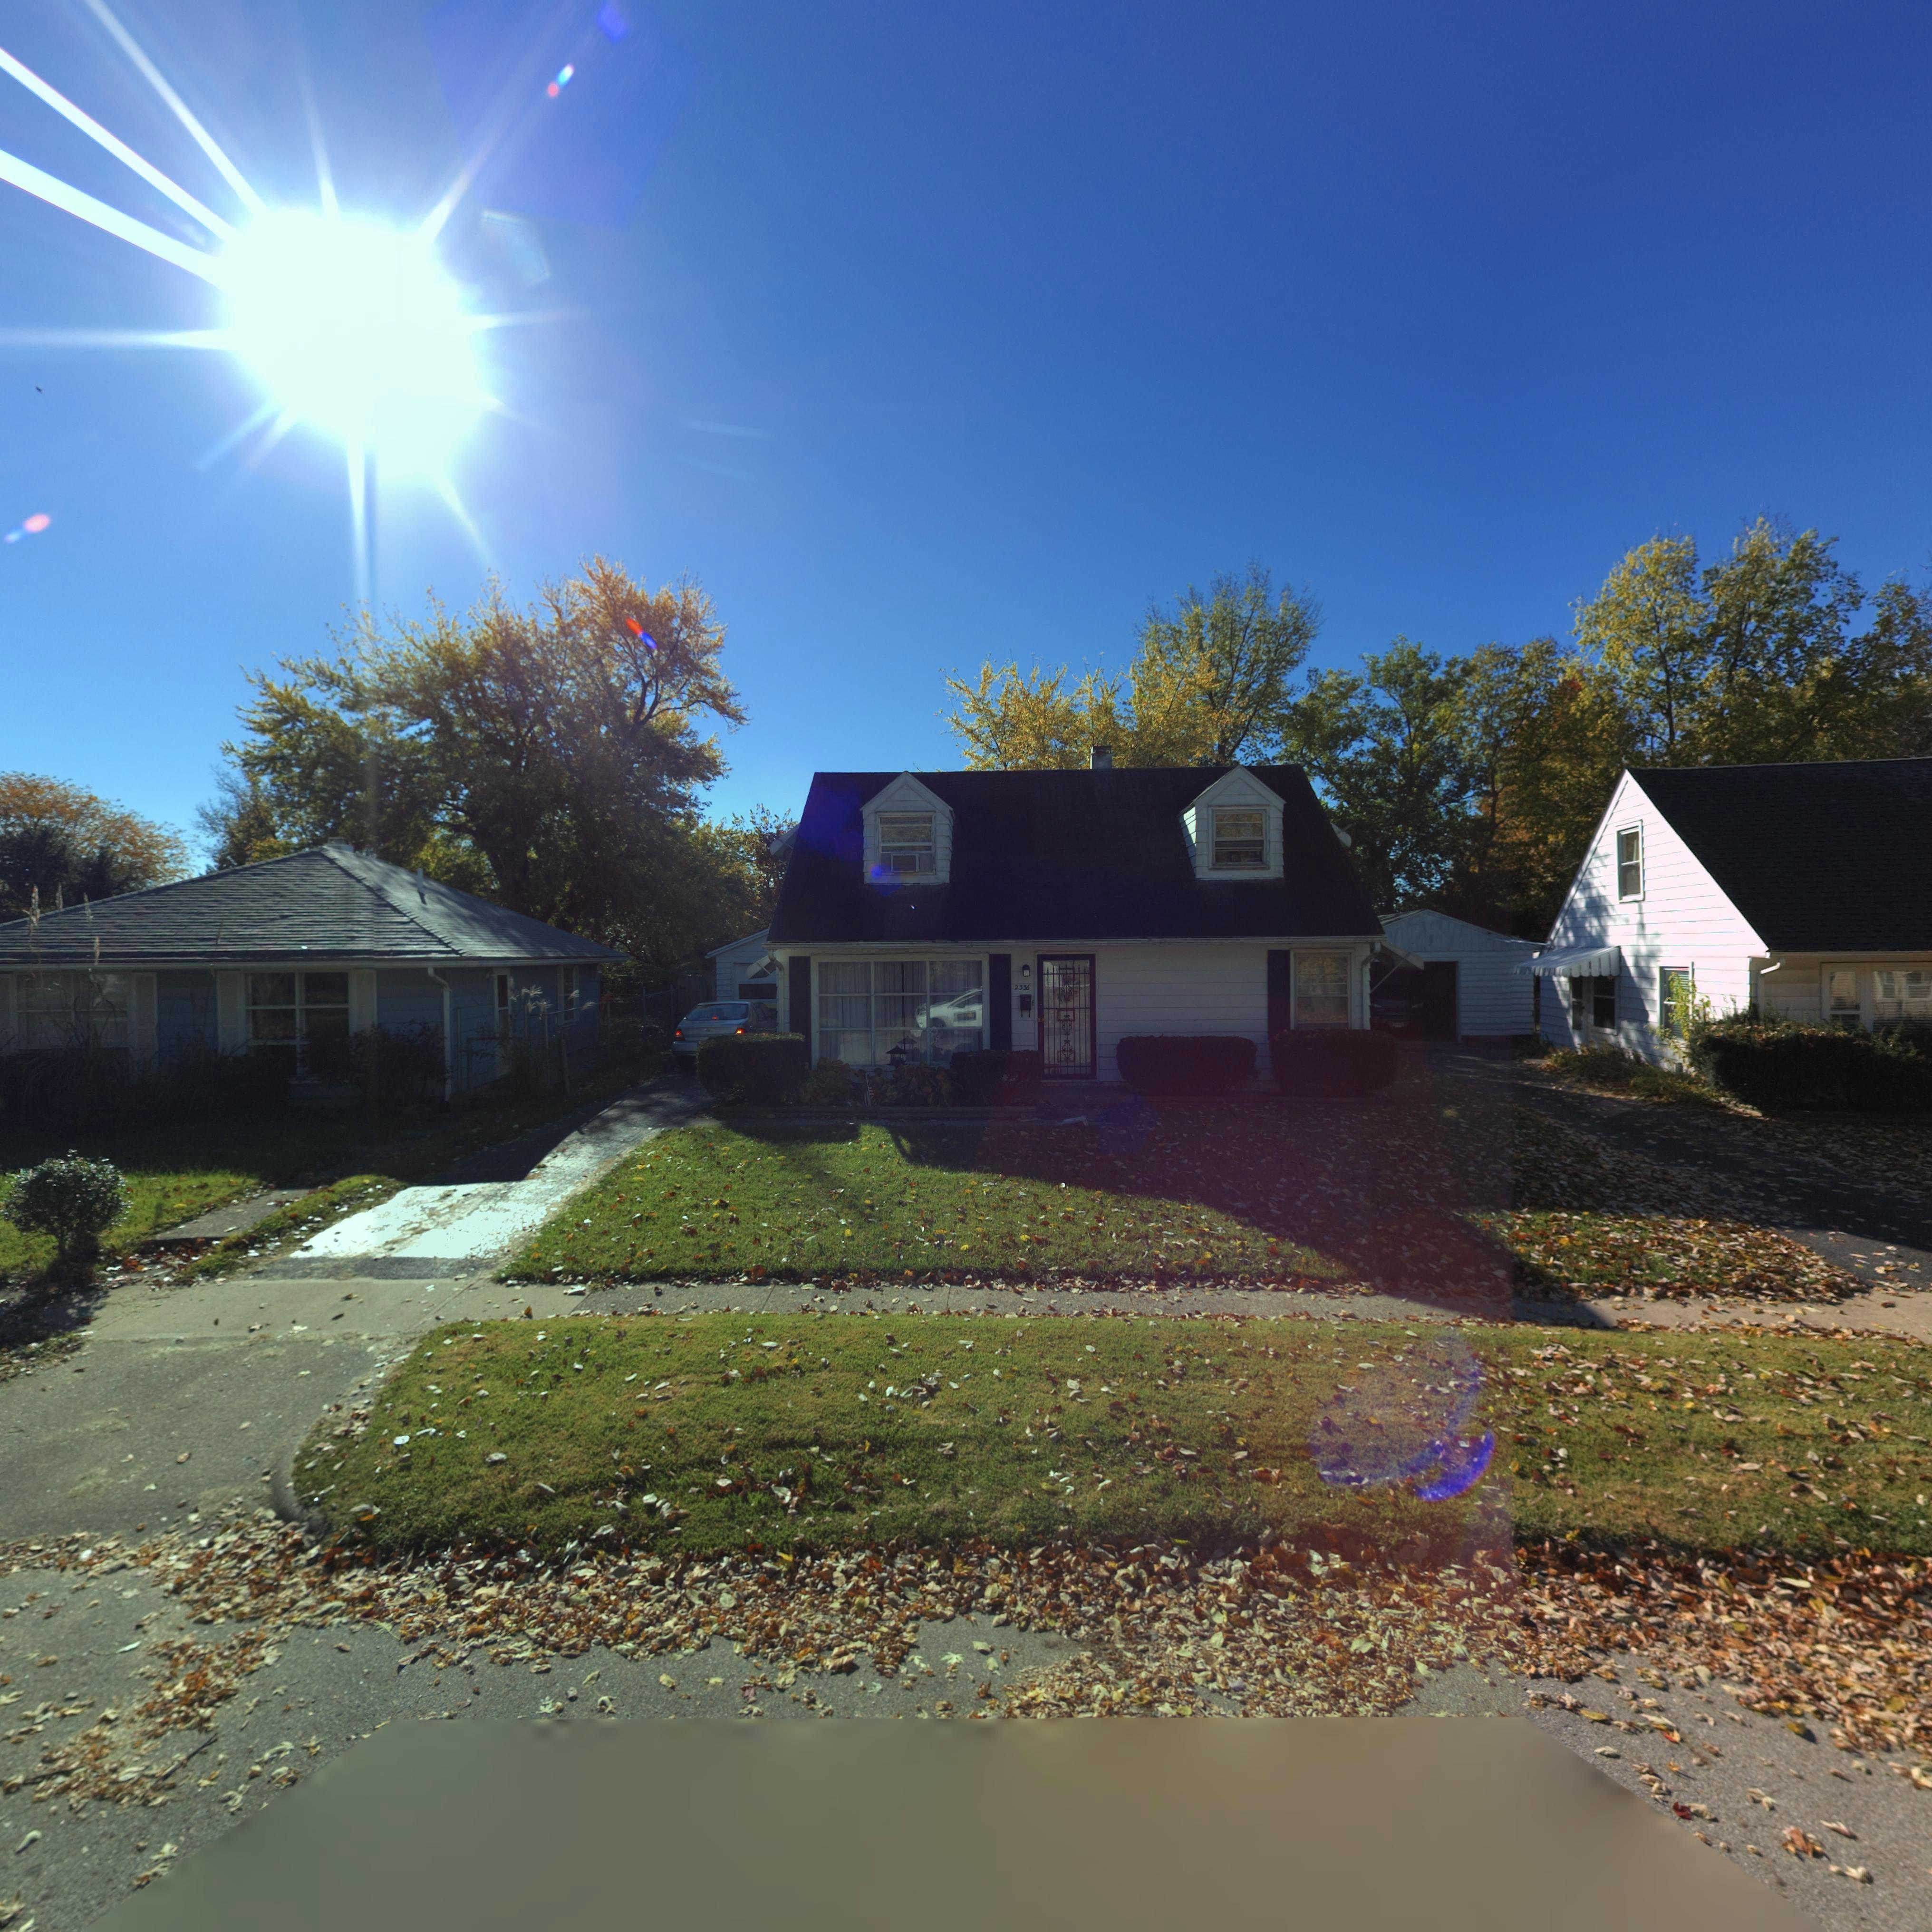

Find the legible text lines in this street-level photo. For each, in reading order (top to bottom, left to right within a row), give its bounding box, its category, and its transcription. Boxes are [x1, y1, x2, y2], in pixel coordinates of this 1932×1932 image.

[1014, 984, 1031, 991] StreetNumber: 2336